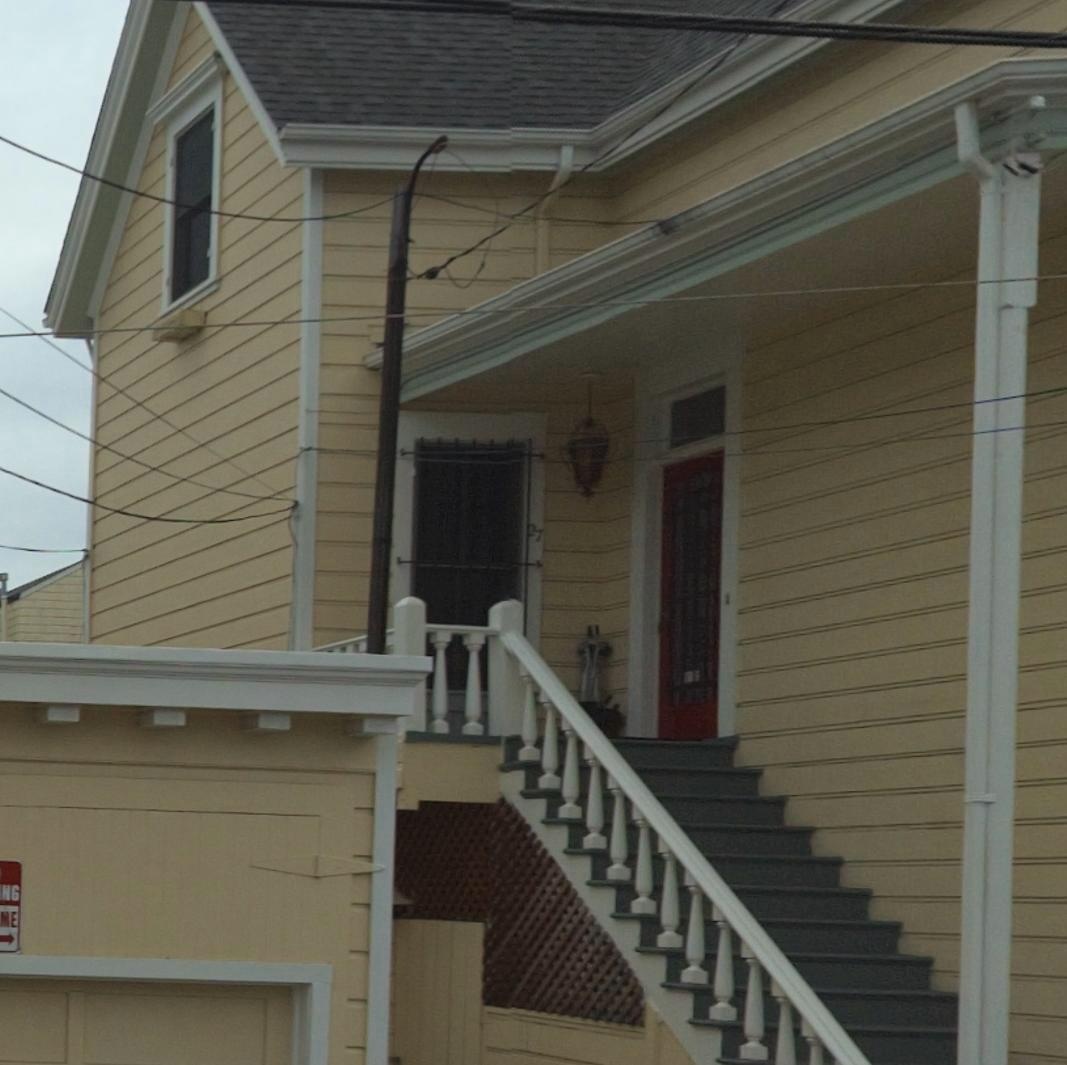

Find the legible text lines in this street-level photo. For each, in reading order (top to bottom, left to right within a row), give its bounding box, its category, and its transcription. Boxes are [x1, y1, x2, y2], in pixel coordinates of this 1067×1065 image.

[527, 522, 545, 545] StreetNumber: 27
[1, 882, 20, 902] None: NG
[0, 909, 18, 928] None: ME